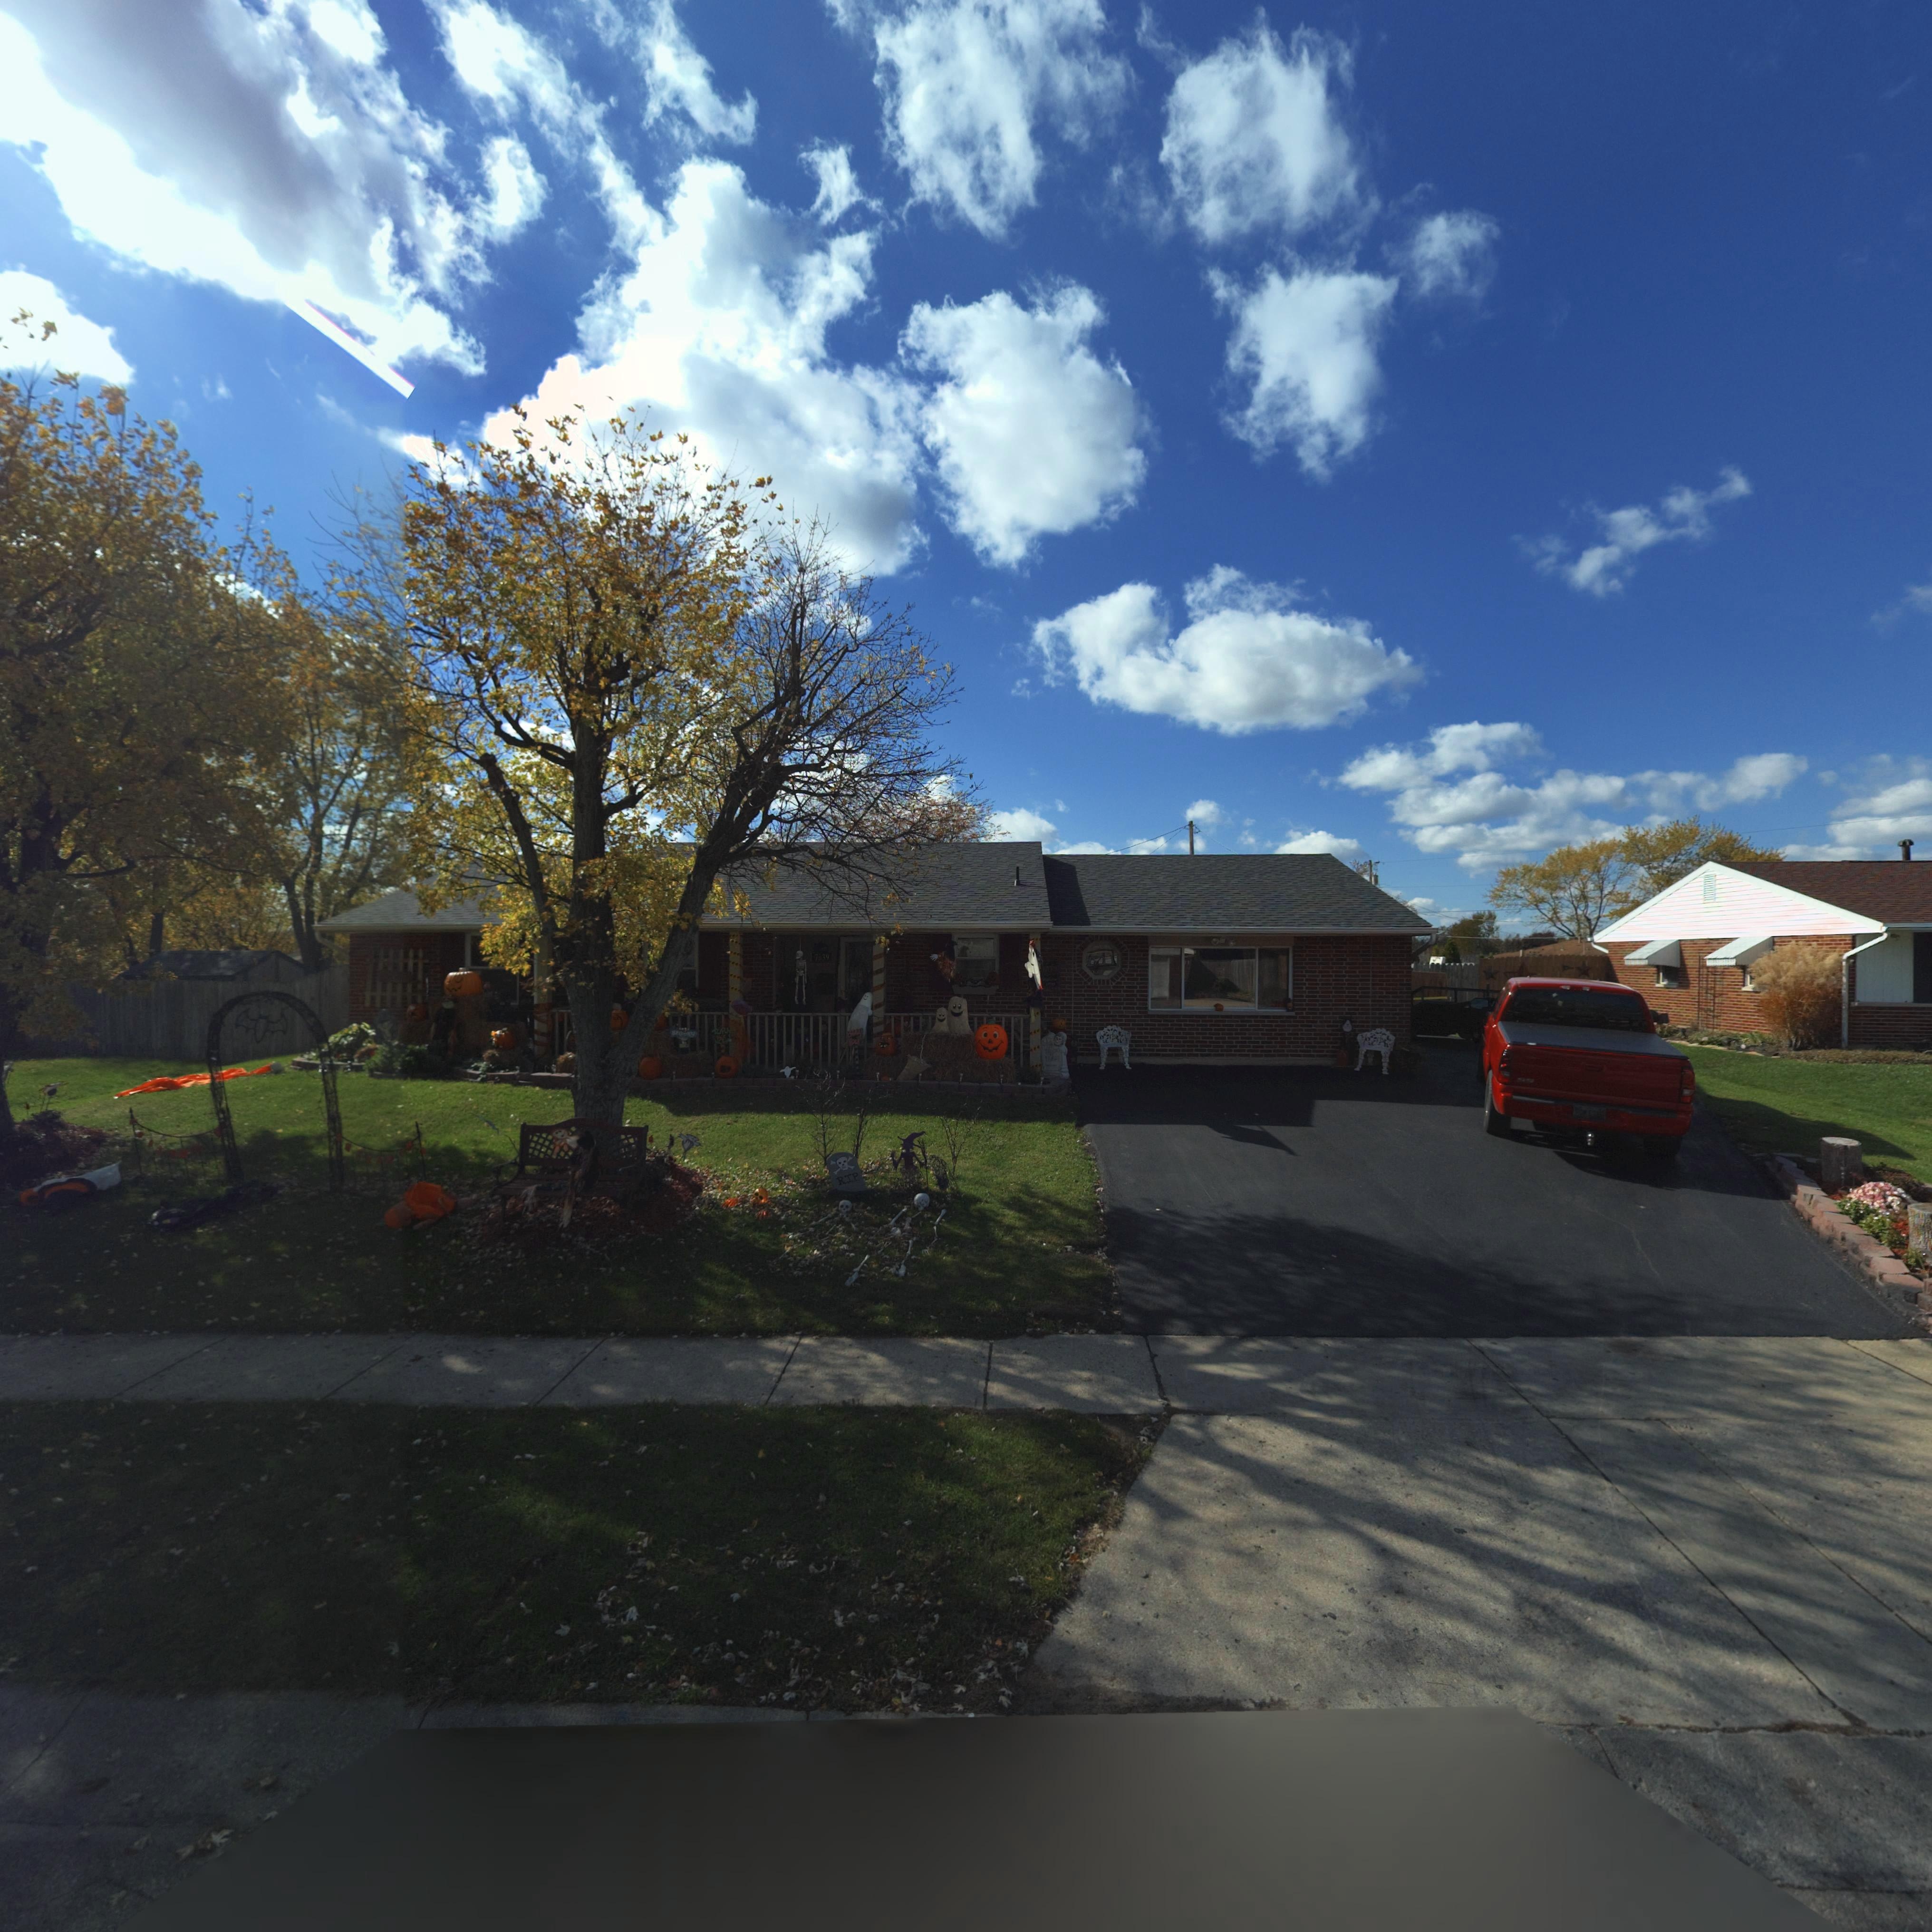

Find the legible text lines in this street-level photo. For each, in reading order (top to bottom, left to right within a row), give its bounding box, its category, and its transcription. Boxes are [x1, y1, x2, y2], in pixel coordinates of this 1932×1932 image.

[814, 953, 830, 961] StreetNumber: 7639